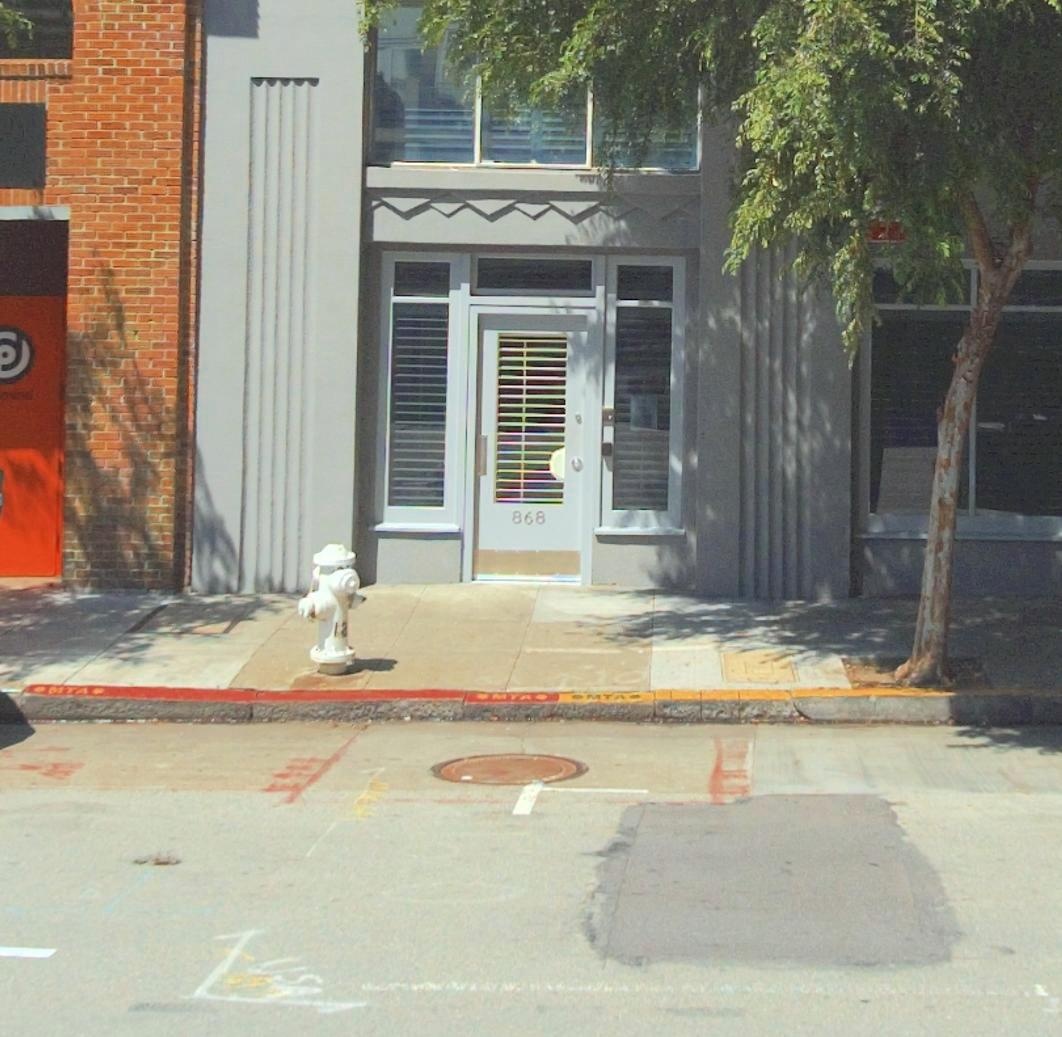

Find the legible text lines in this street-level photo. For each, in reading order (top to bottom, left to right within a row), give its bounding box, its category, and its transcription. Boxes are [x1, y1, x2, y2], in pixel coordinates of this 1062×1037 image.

[512, 510, 546, 526] StreetNumber: 868